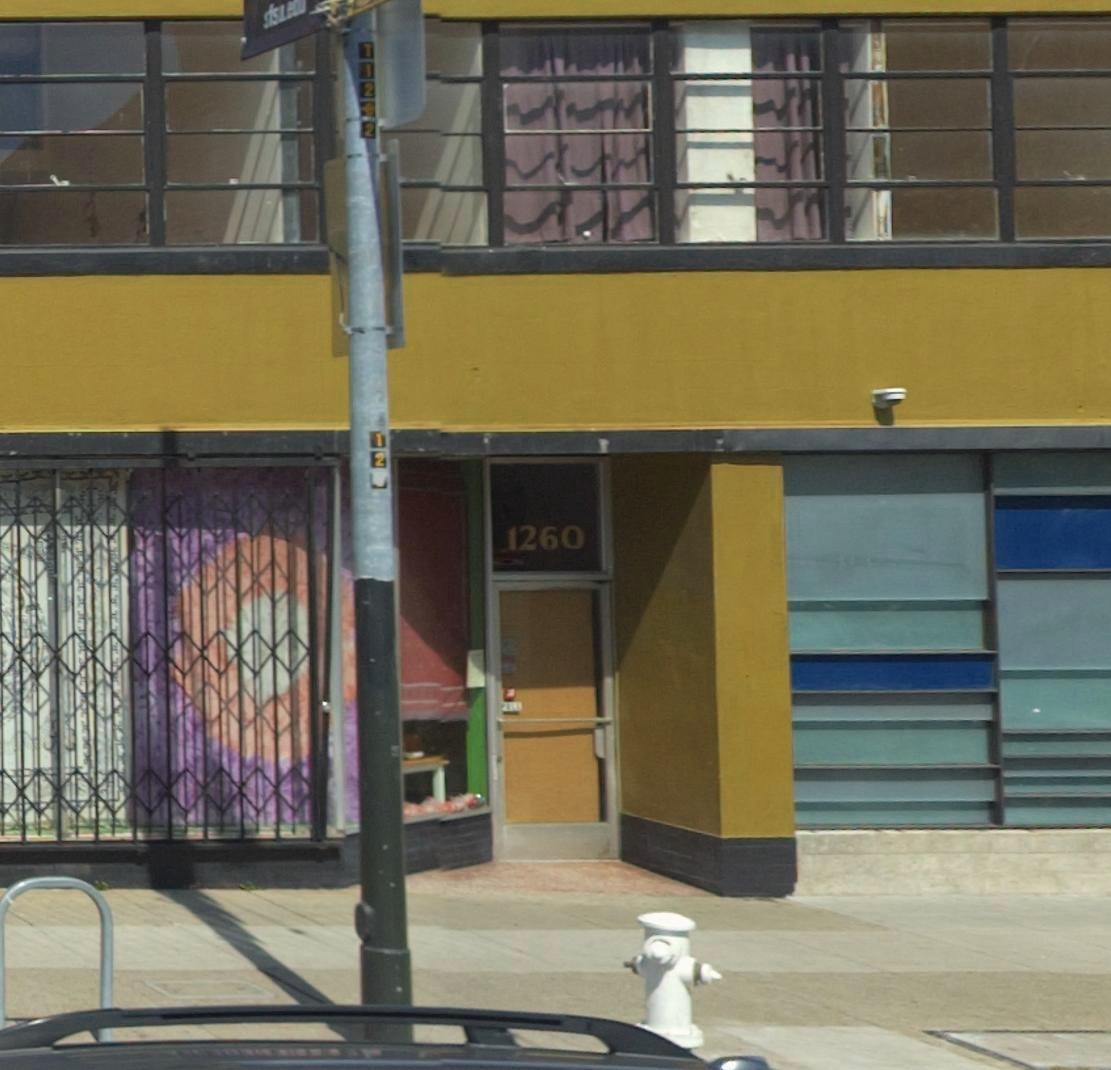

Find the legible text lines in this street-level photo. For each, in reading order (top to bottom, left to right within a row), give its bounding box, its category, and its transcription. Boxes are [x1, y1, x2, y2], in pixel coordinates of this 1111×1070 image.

[360, 43, 374, 136] None: T12*2
[371, 432, 386, 467] None: 12
[505, 523, 586, 552] StreetNumber: 1260